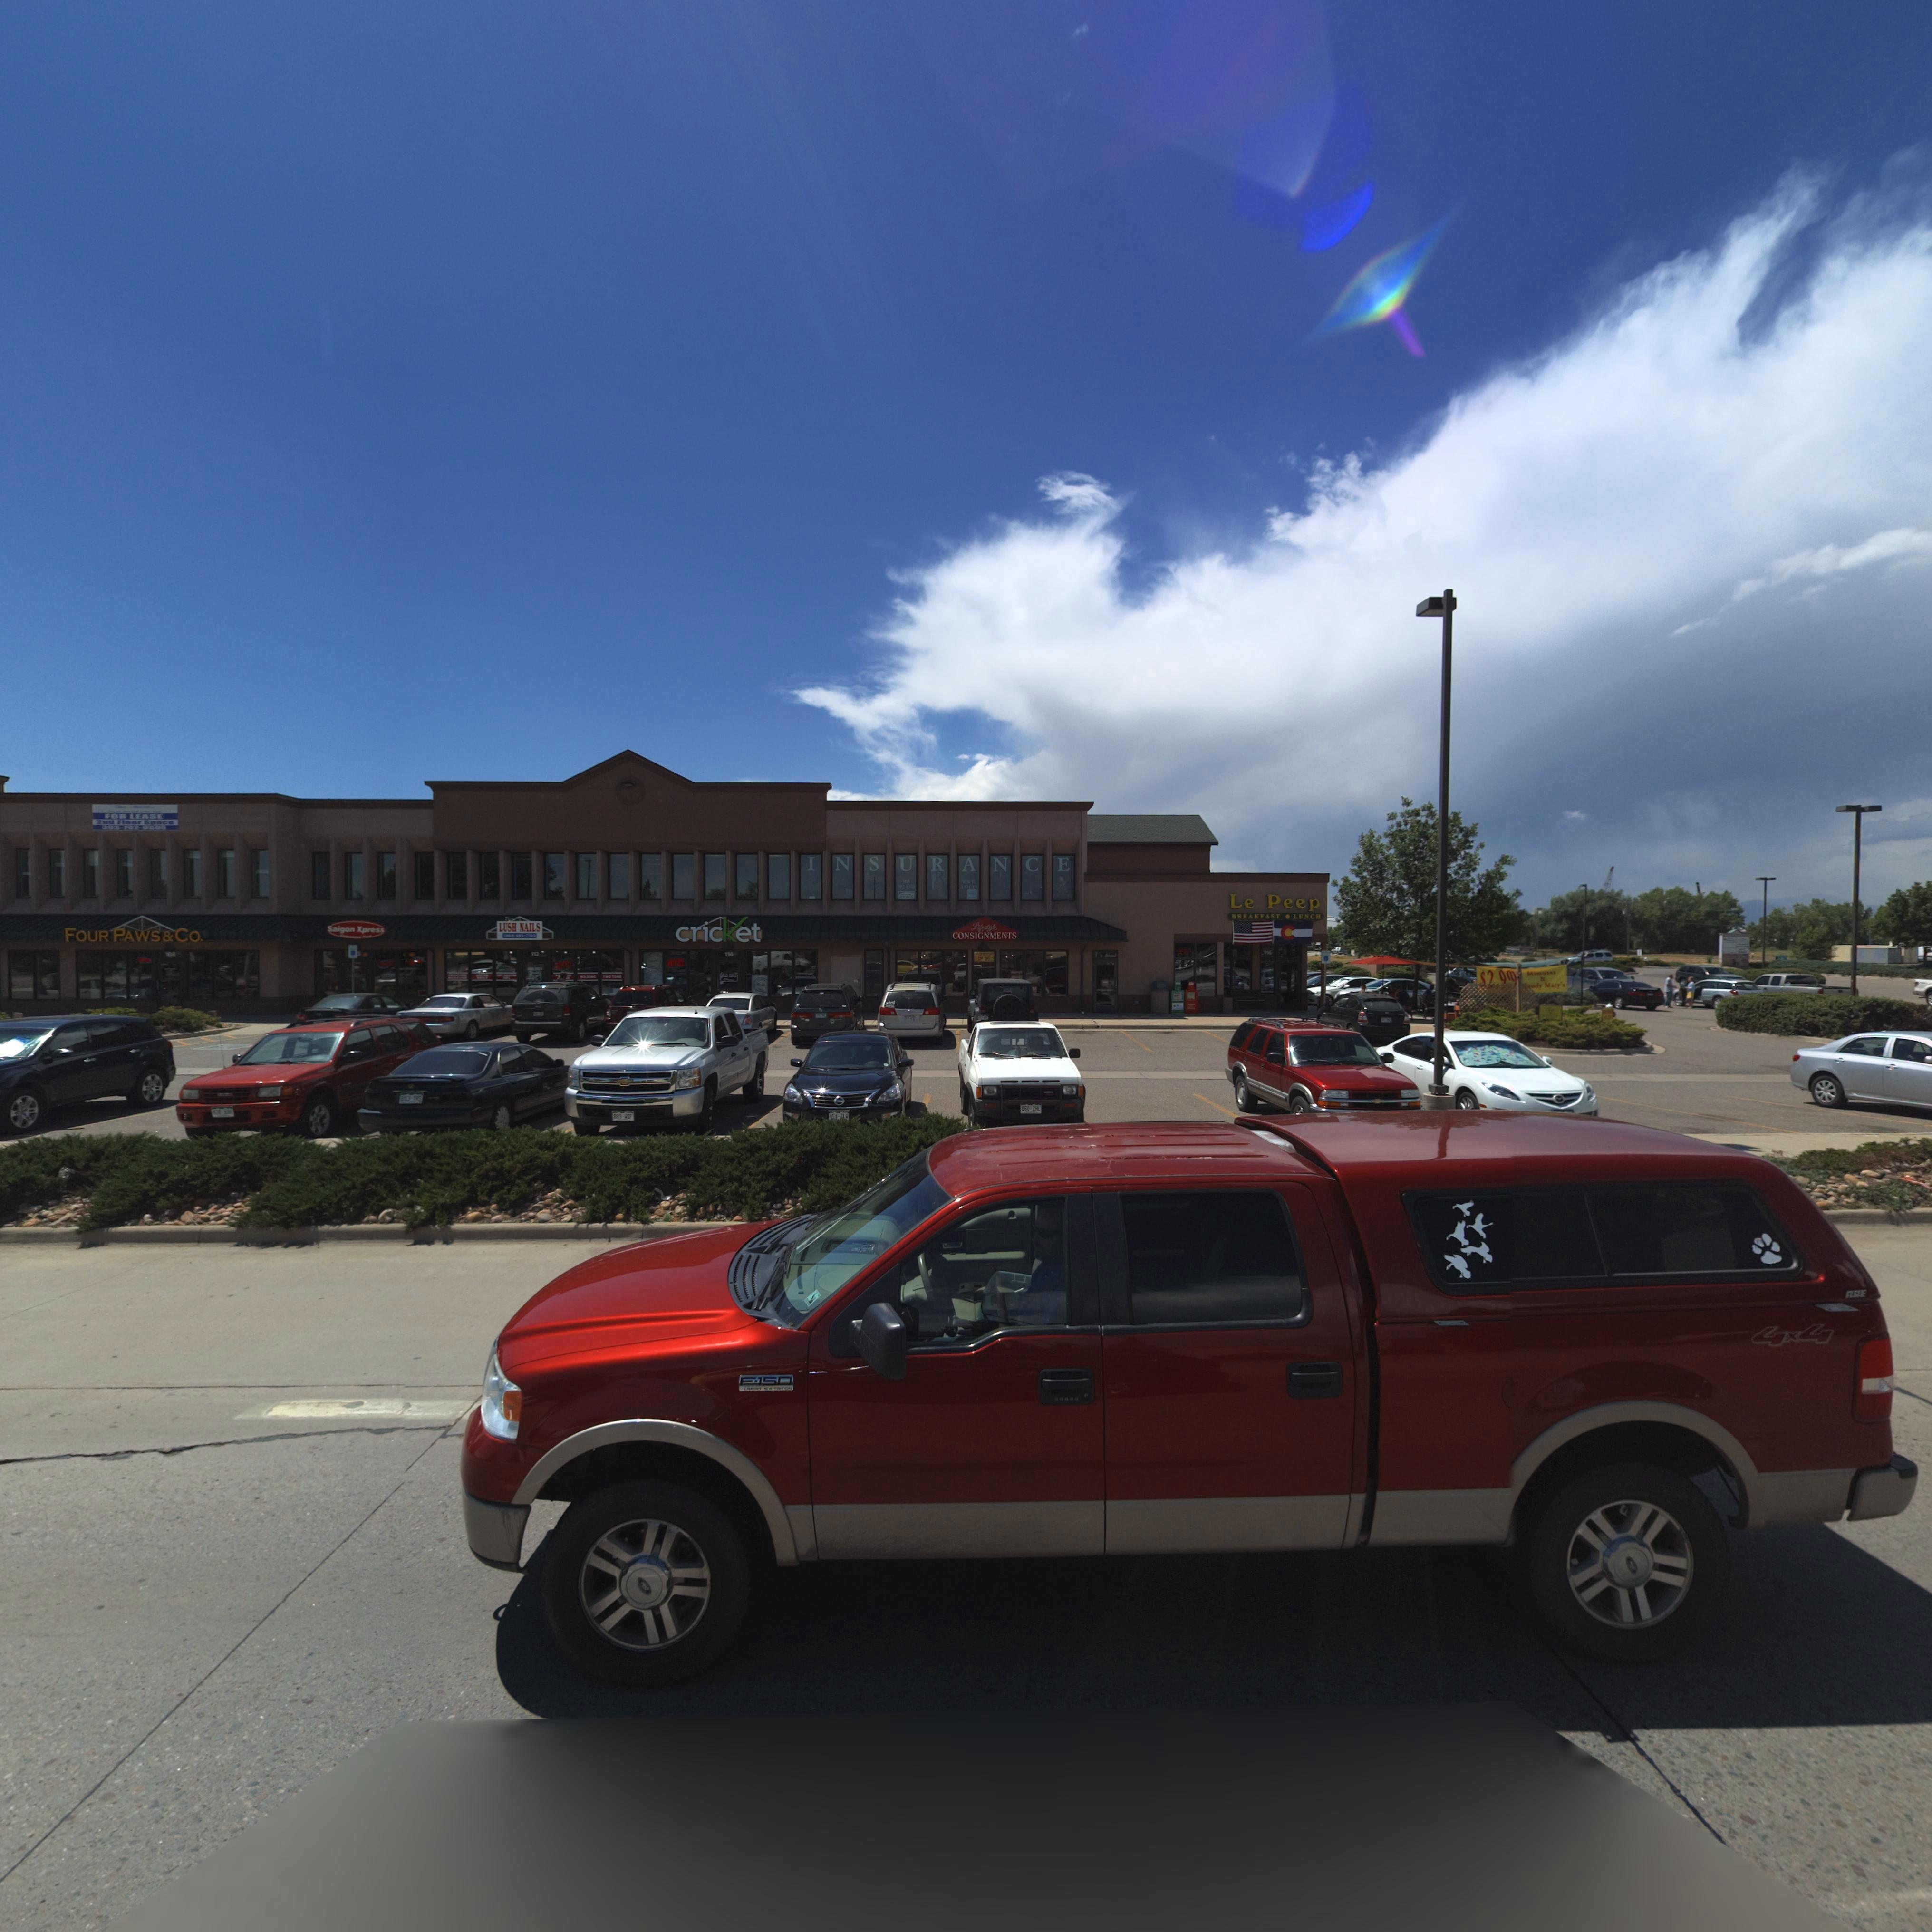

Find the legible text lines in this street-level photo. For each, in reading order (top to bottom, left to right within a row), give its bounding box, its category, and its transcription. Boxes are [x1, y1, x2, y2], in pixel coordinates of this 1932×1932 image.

[1229, 894, 1320, 912] BusinessName: Le Peep
[64, 927, 204, 942] BusinessName: FOUR PAWS & CO.
[327, 926, 385, 935] BusinessName: Saigon Xpress
[499, 922, 540, 932] BusinessName: LUSH NAILS
[675, 916, 761, 942] BusinessName: cricKet
[971, 922, 997, 932] BusinessName: Lifestyle
[952, 932, 1016, 939] BusinessName: CONSIGNMENTS
[531, 951, 539, 956] StreetNumber: 112
[724, 951, 734, 956] StreetNumber: 114